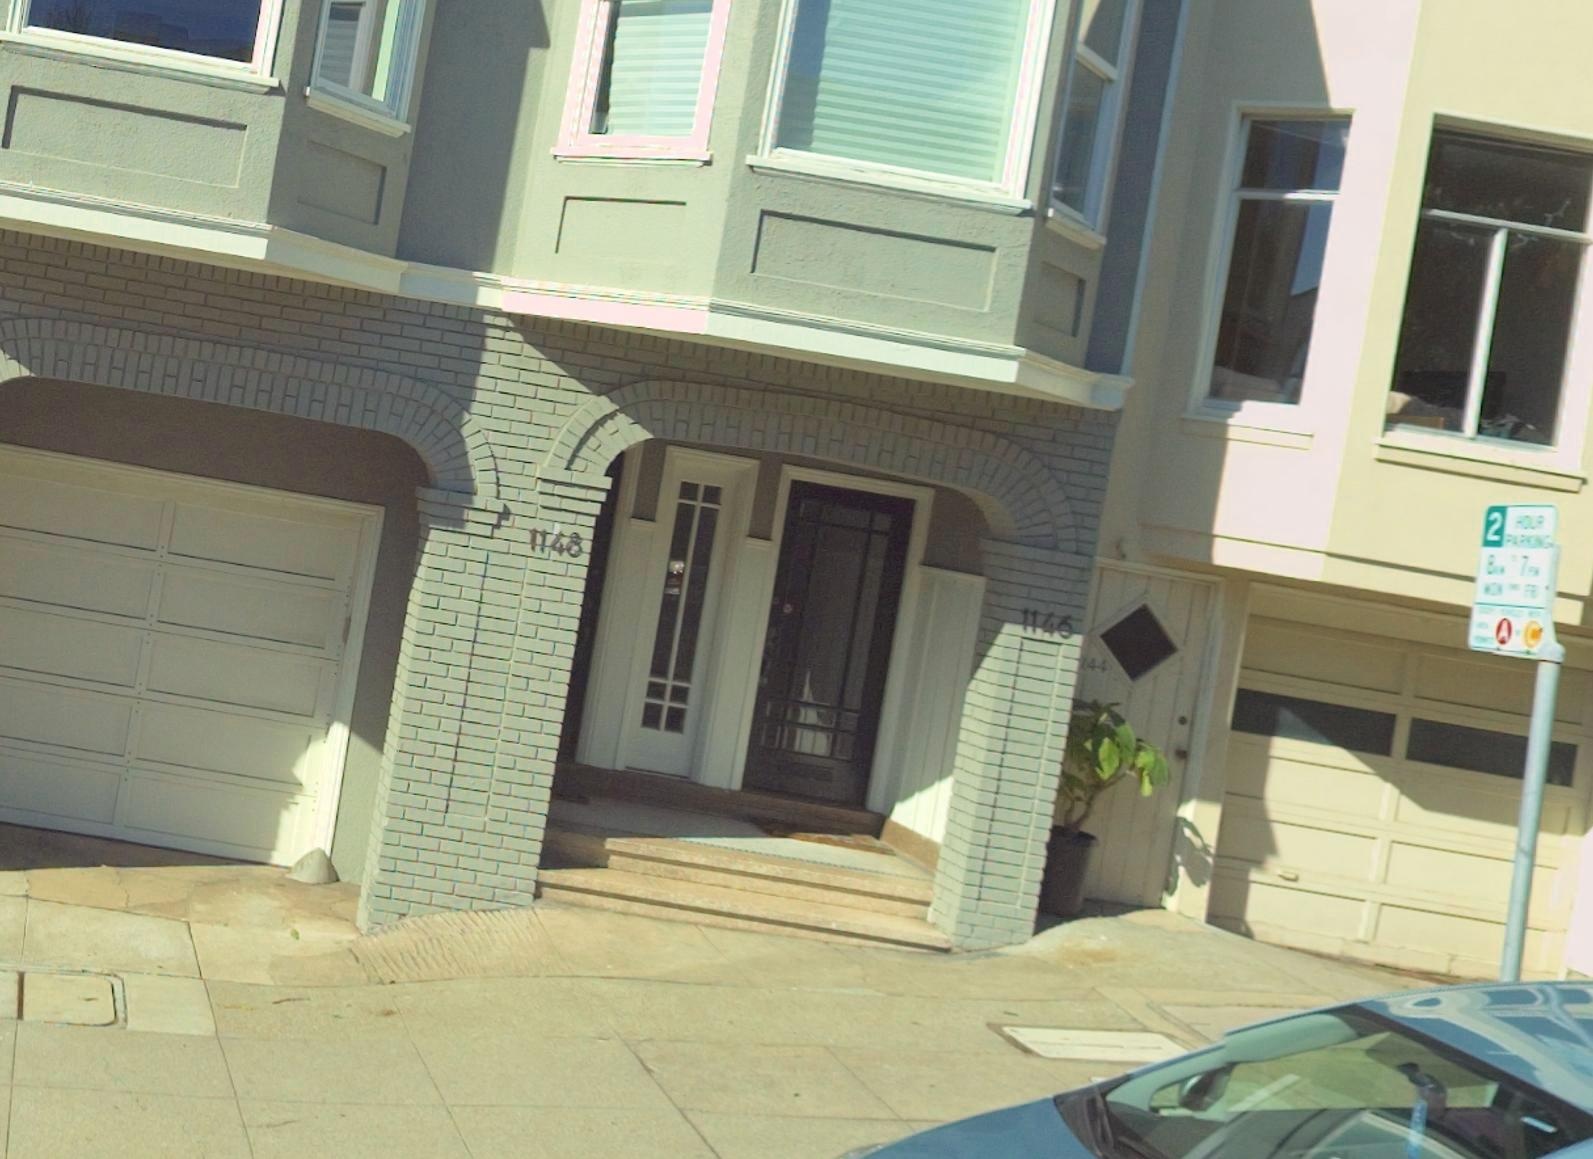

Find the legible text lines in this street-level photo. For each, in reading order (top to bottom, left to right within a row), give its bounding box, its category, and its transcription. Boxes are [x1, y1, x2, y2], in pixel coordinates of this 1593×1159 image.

[1483, 508, 1505, 544] None: 2
[1513, 511, 1547, 532] None: HOUR
[525, 526, 584, 560] StreetNumber: 1148
[1502, 532, 1556, 550] None: PARKING
[1483, 551, 1498, 577] None: 8
[1517, 552, 1533, 577] None: 7
[1019, 606, 1076, 642] StreetNumber: 1146
[1494, 618, 1511, 645] None: A
[1524, 621, 1542, 648] None: C
[1086, 655, 1109, 675] StreetNumber: 44